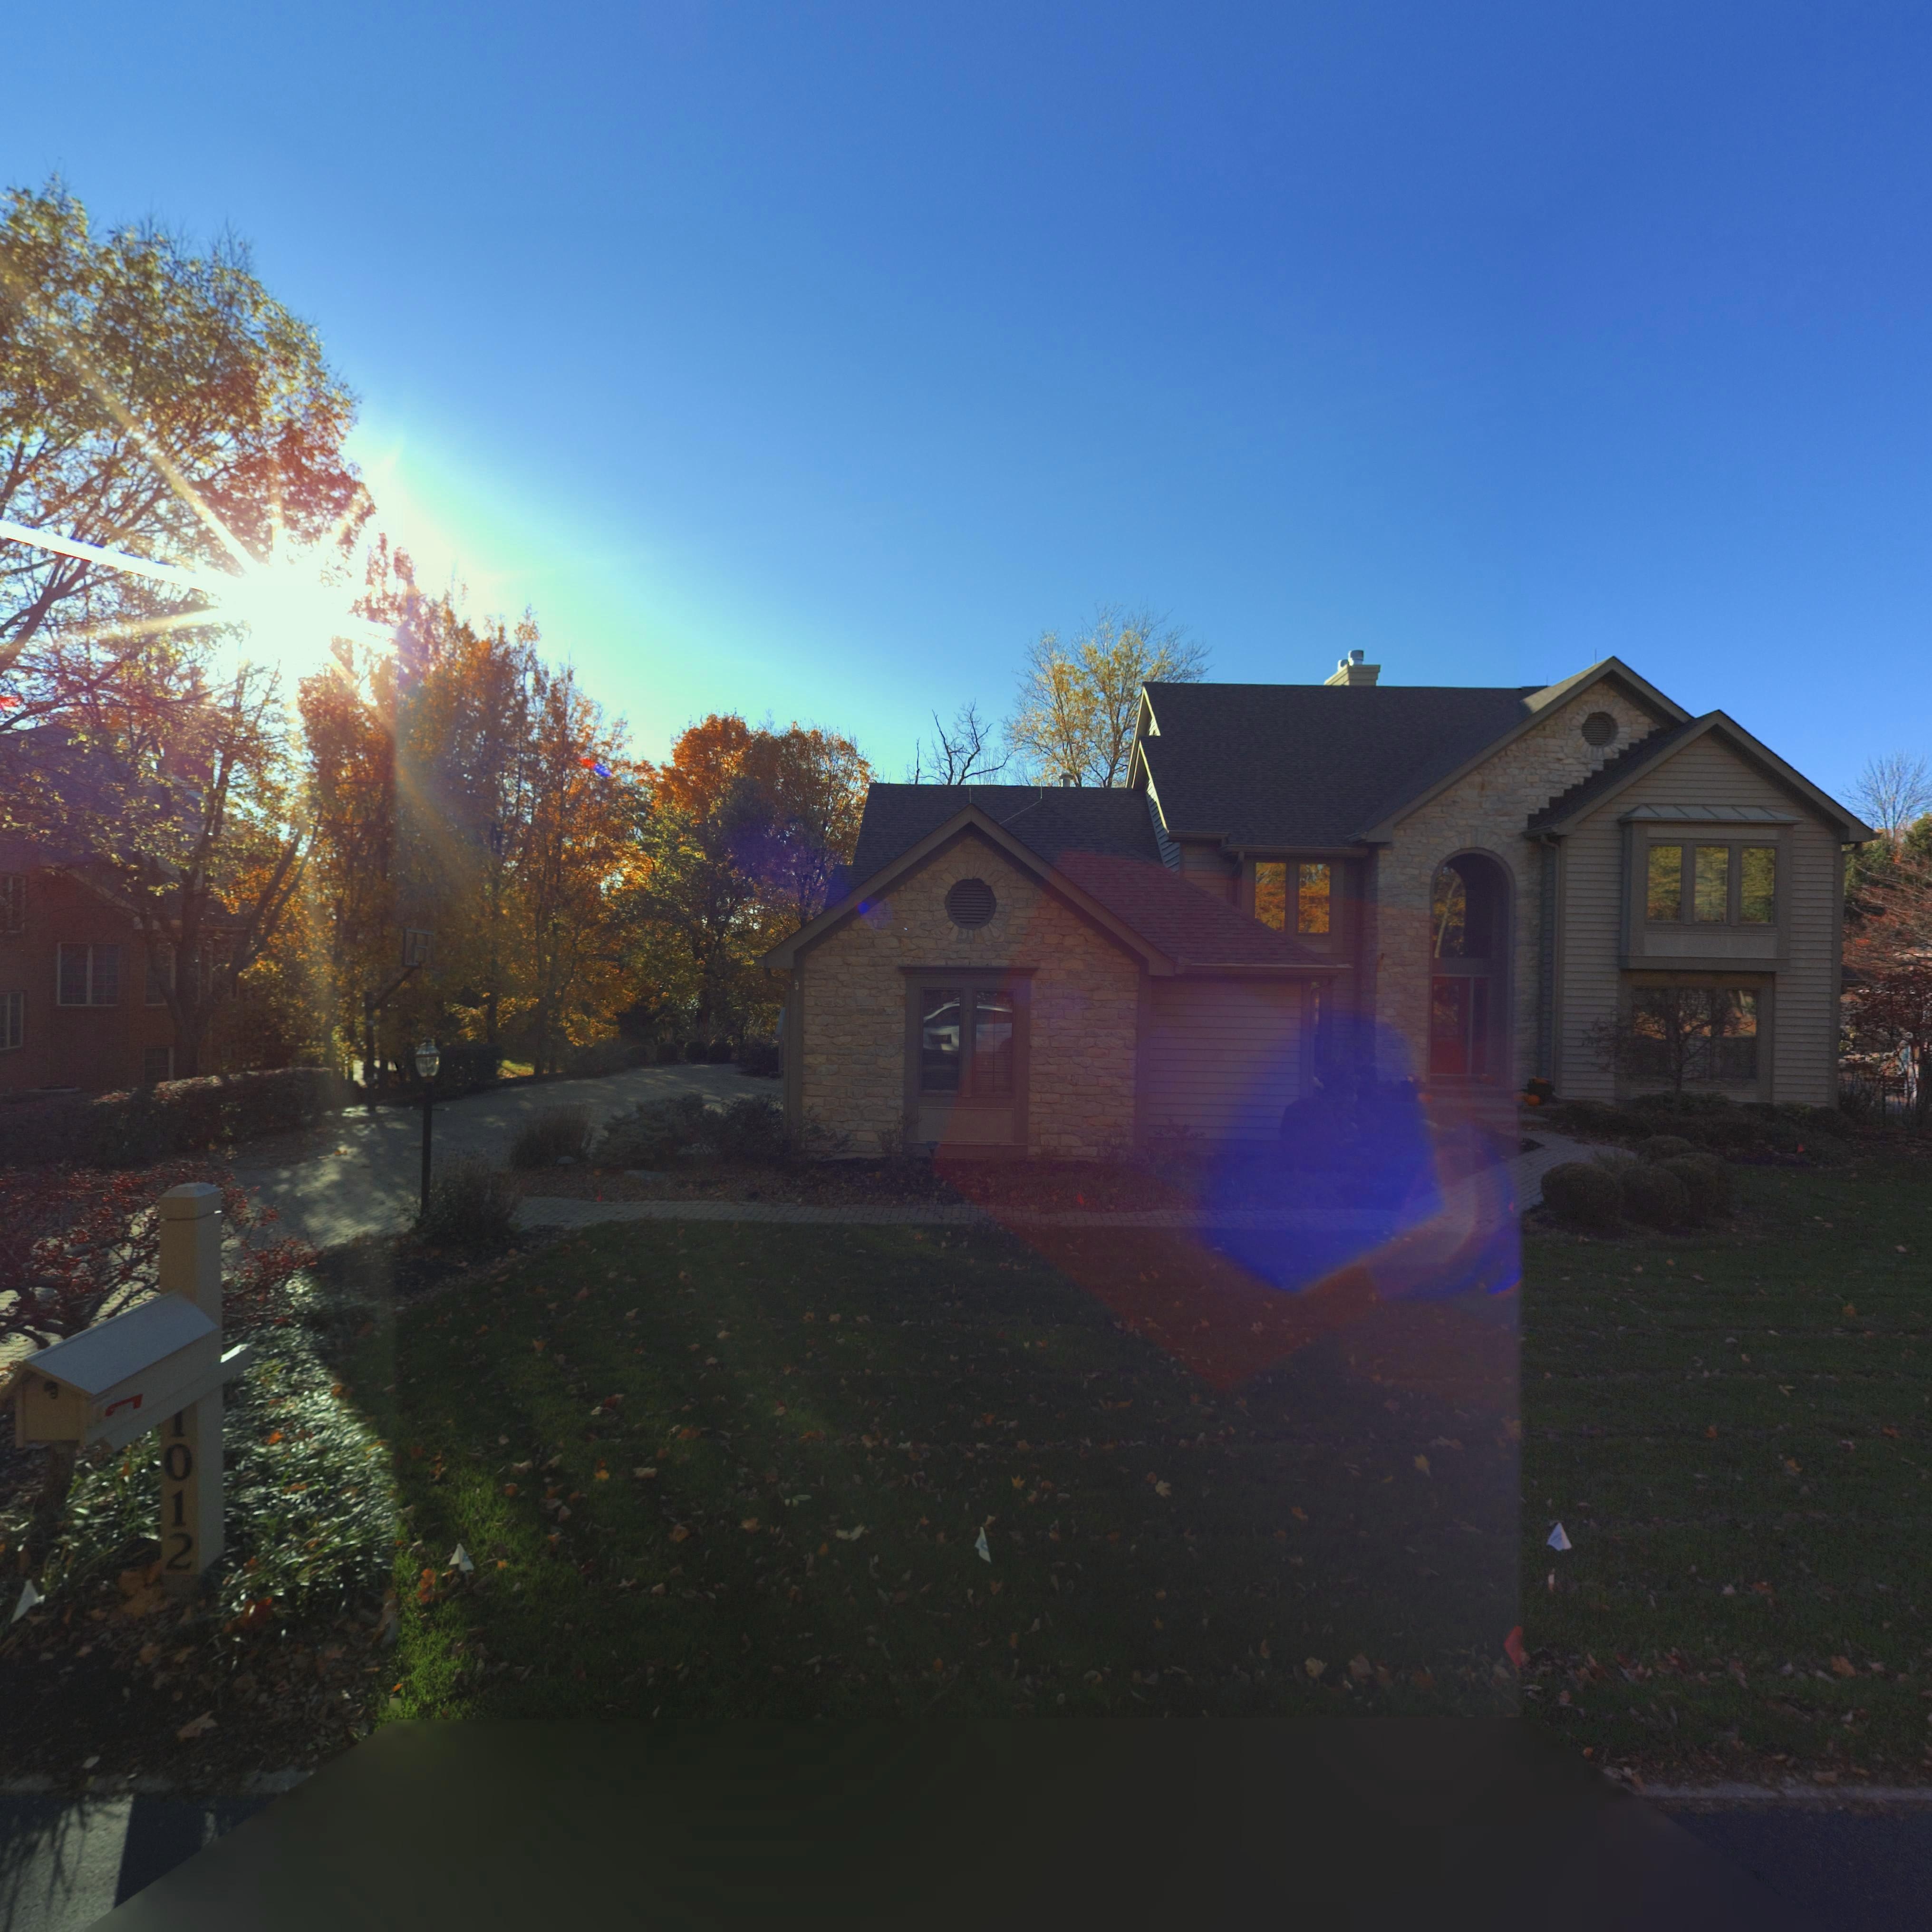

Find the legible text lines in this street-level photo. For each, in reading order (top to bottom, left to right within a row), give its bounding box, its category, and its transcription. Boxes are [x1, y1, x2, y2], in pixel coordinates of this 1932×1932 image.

[160, 1440, 196, 1572] StreetNumber: 012